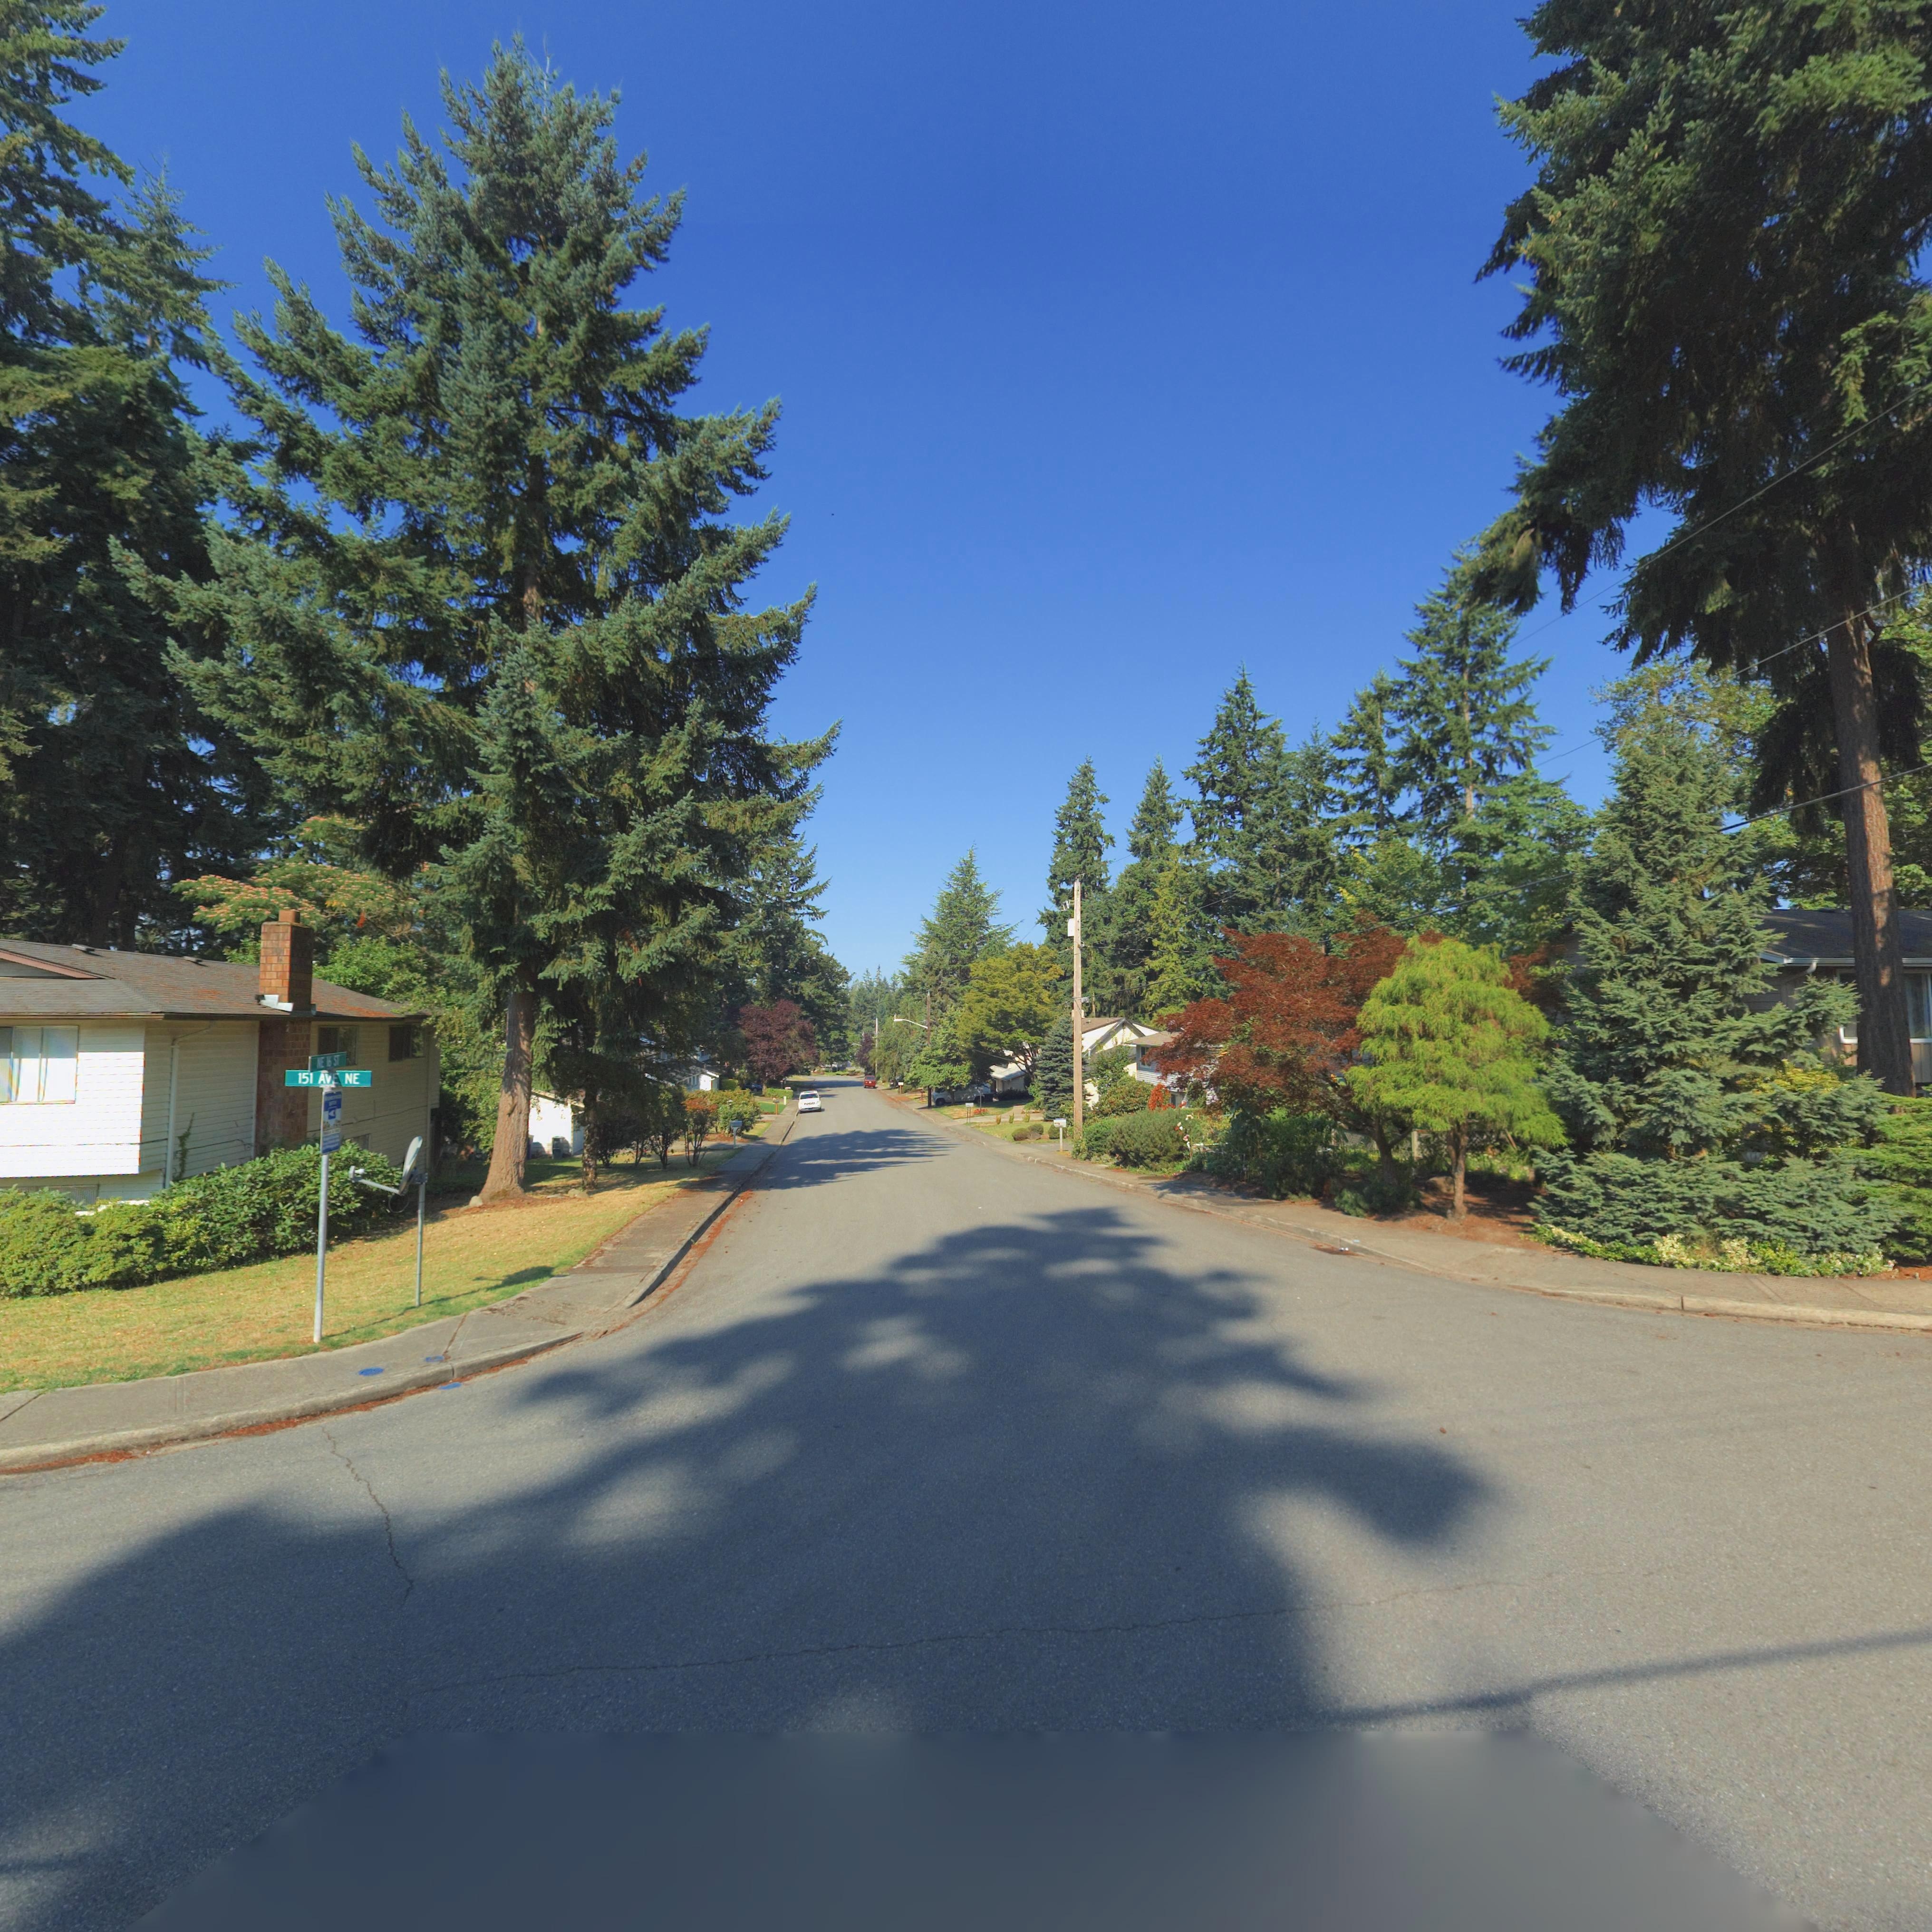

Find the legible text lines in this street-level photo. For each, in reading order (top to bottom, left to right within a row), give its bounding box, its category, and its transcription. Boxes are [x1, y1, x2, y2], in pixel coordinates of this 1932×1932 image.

[317, 1055, 340, 1069] StreetName: *E 16 ST
[297, 1072, 360, 1084] StreetName: 151 AVE NE